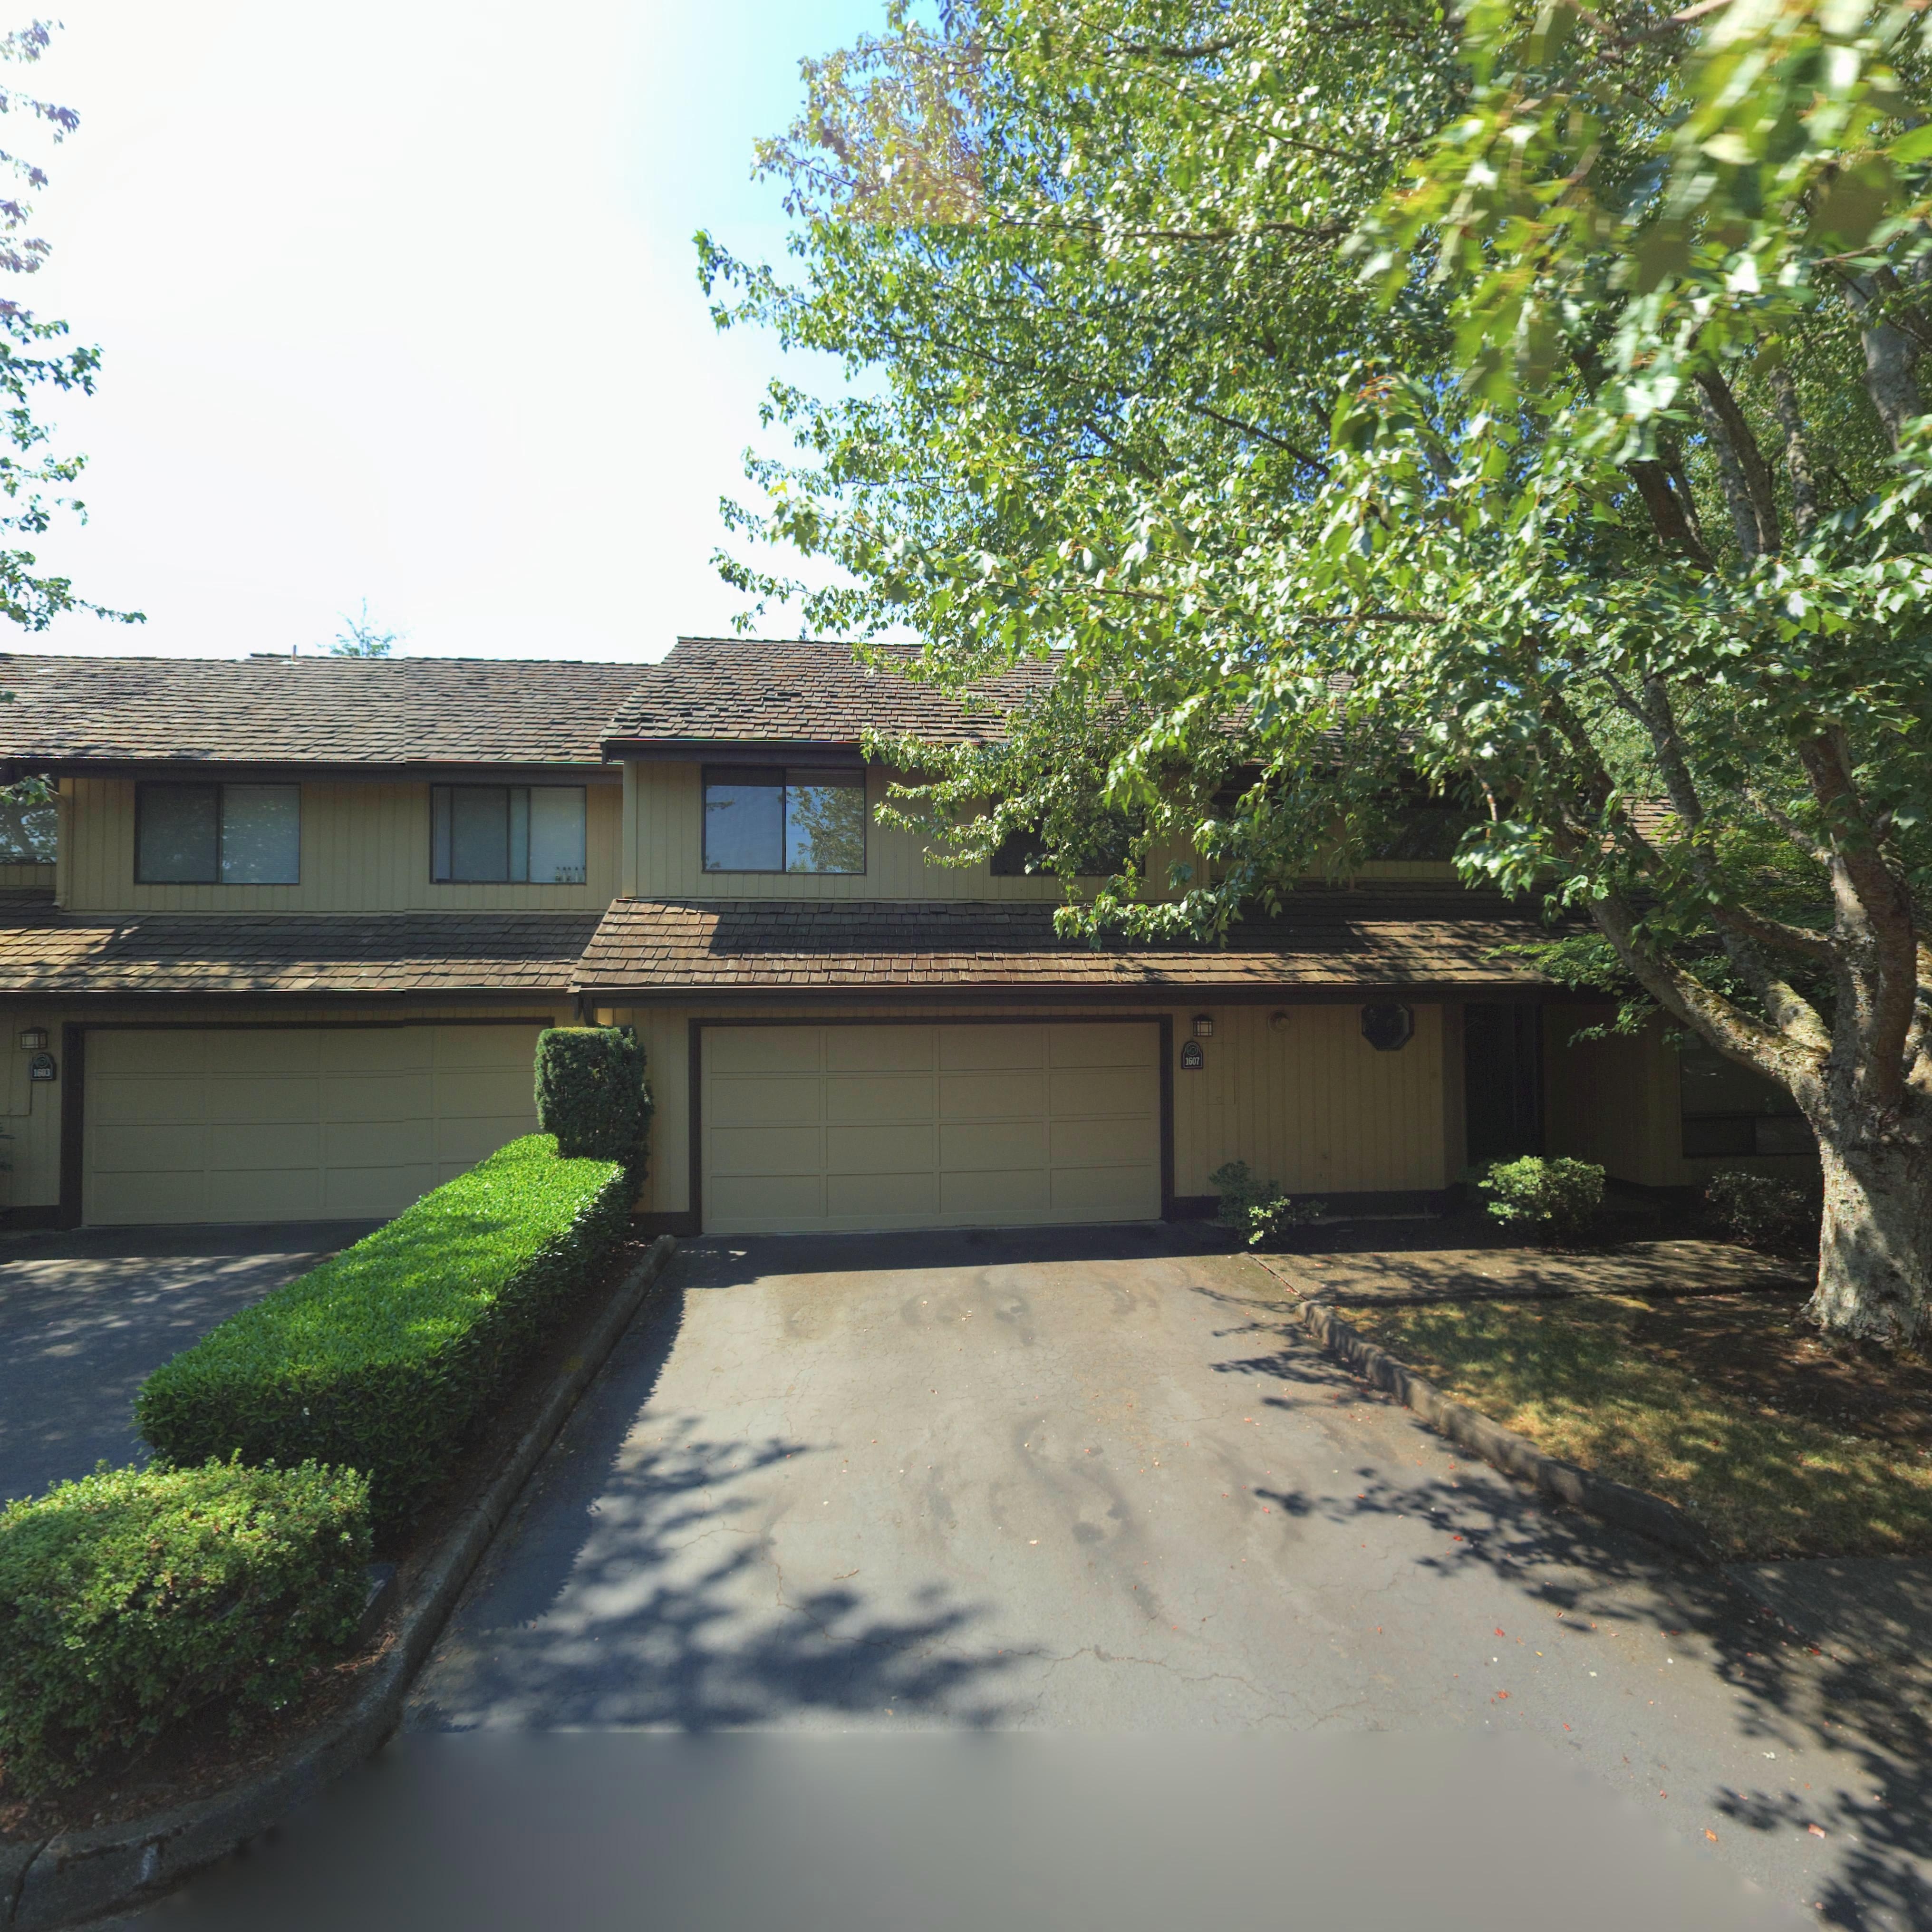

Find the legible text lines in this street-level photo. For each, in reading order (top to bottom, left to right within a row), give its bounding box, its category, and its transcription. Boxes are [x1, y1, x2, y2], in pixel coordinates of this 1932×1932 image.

[1185, 1057, 1199, 1065] StreetNumber: 1607